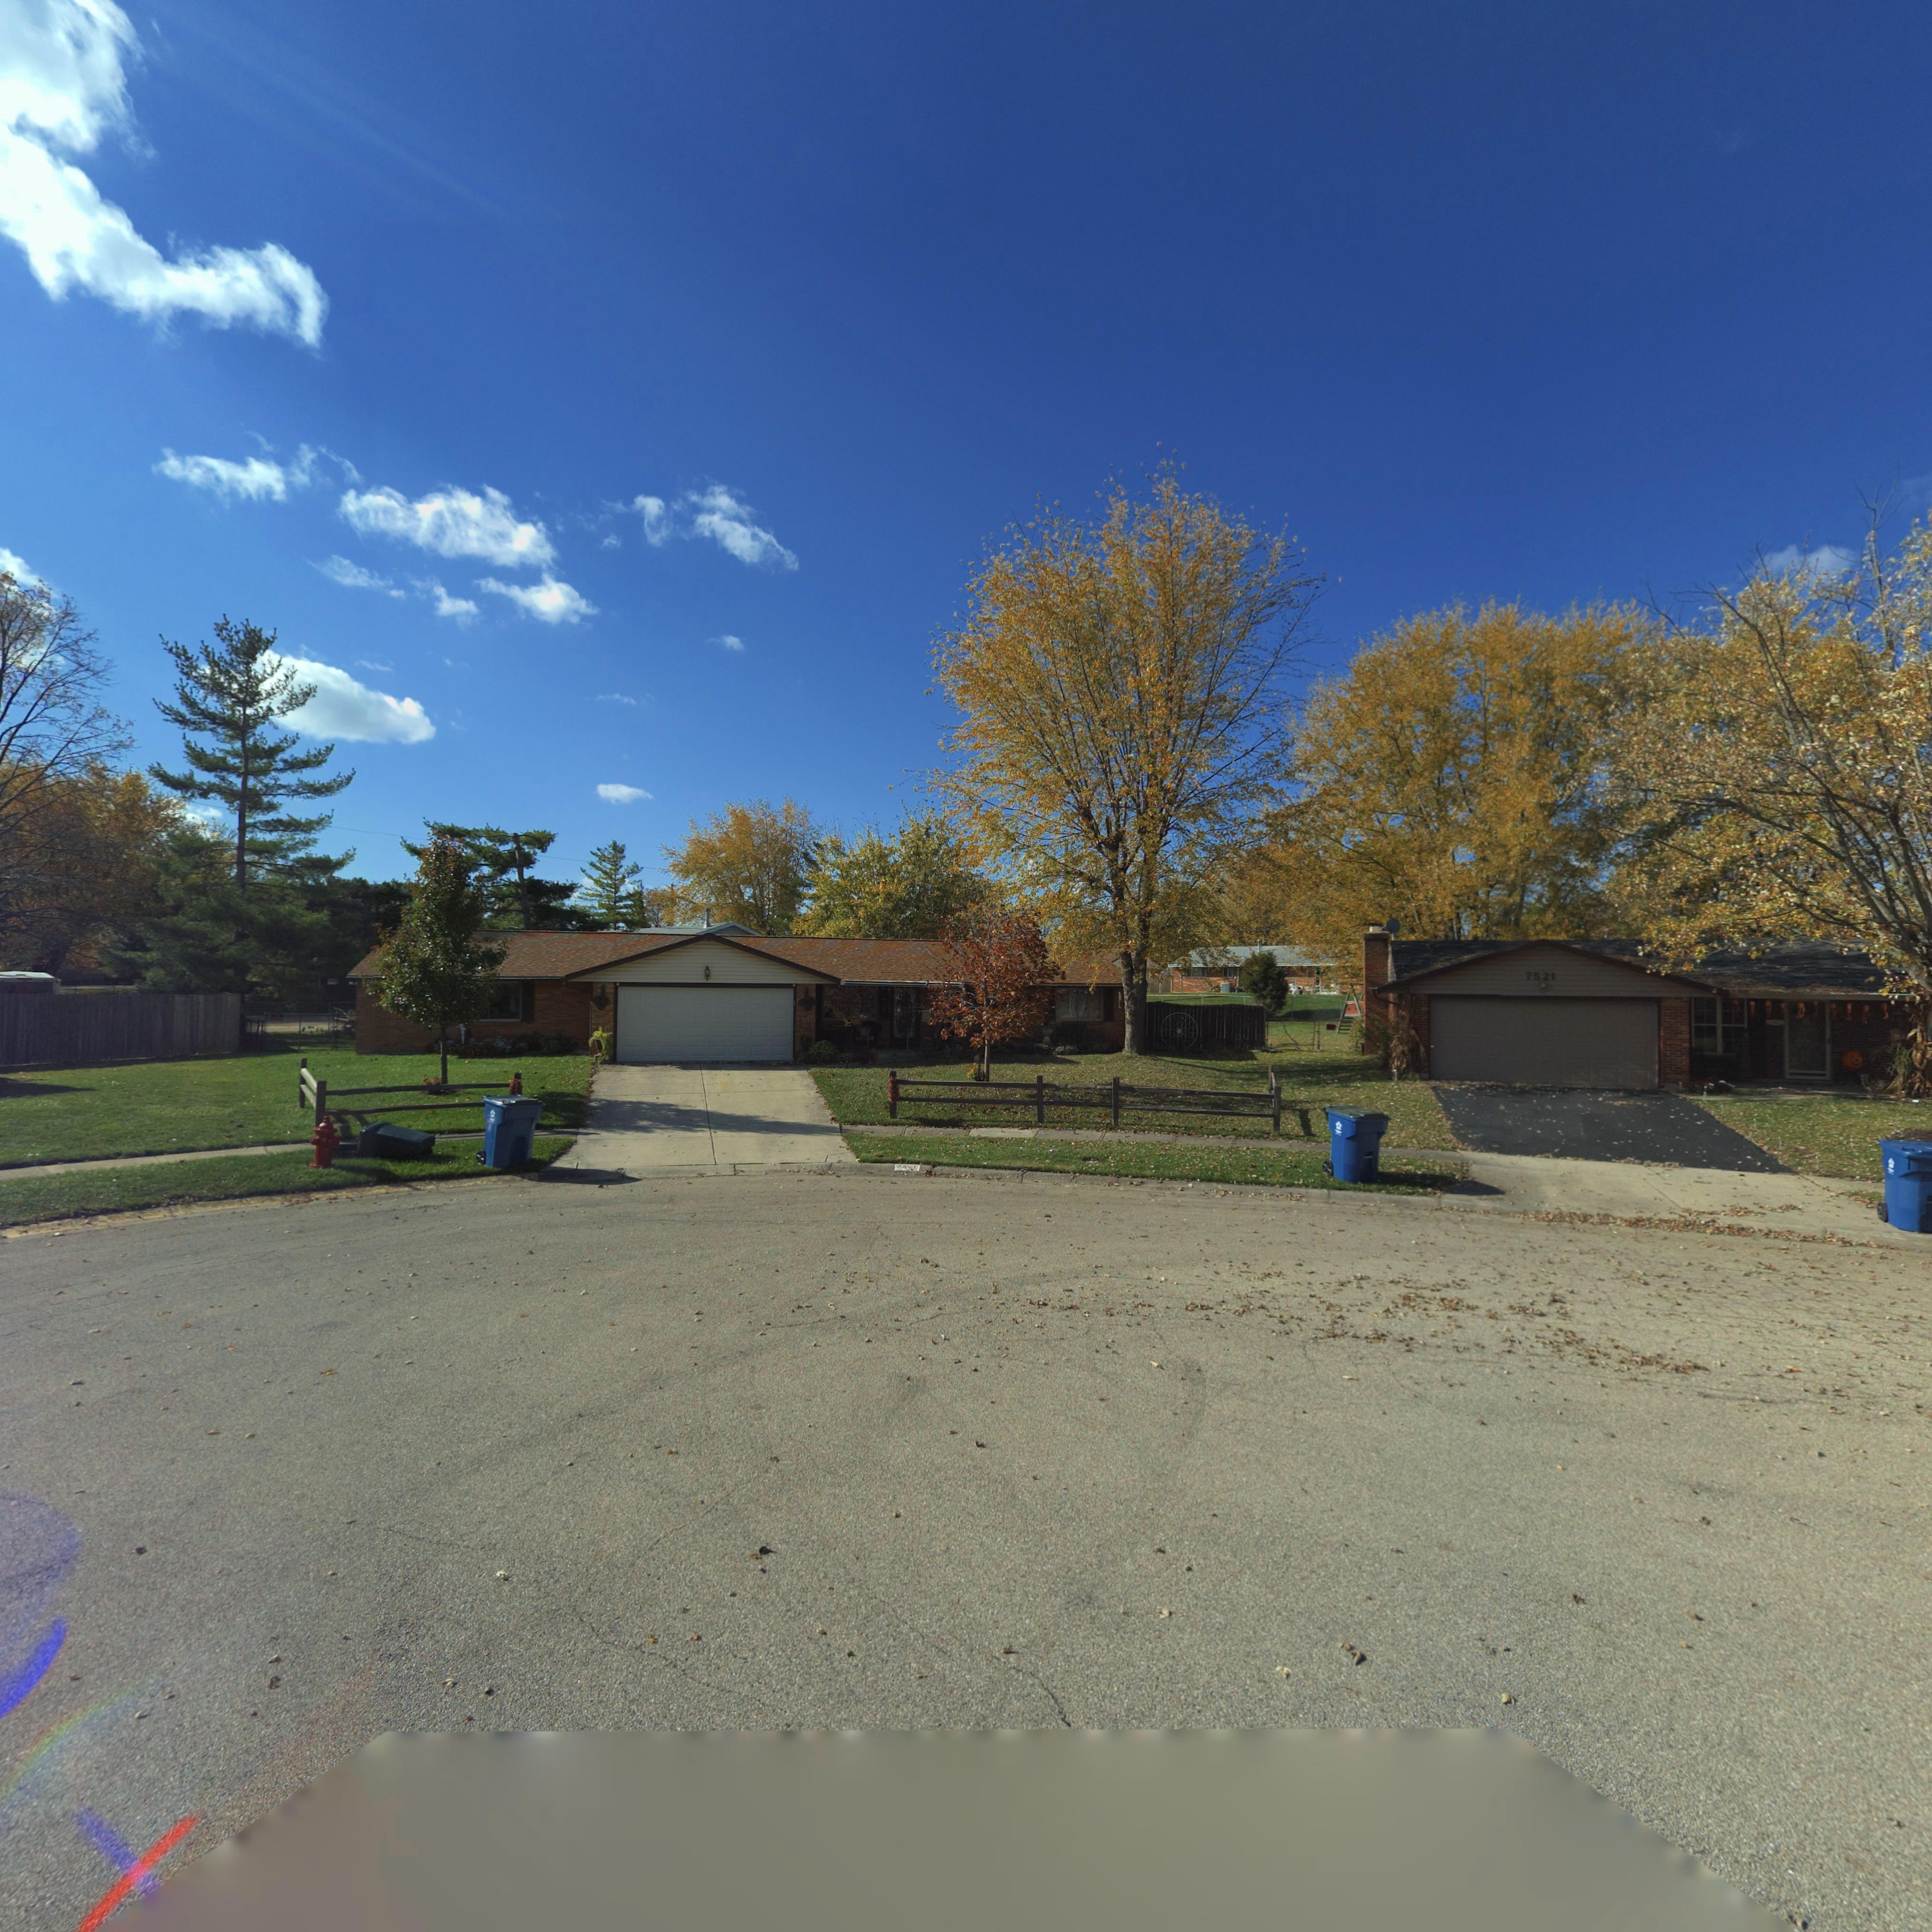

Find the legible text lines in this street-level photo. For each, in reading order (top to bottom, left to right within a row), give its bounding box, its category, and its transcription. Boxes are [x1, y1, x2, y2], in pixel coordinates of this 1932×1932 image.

[1524, 971, 1556, 982] StreetNumber: 7521